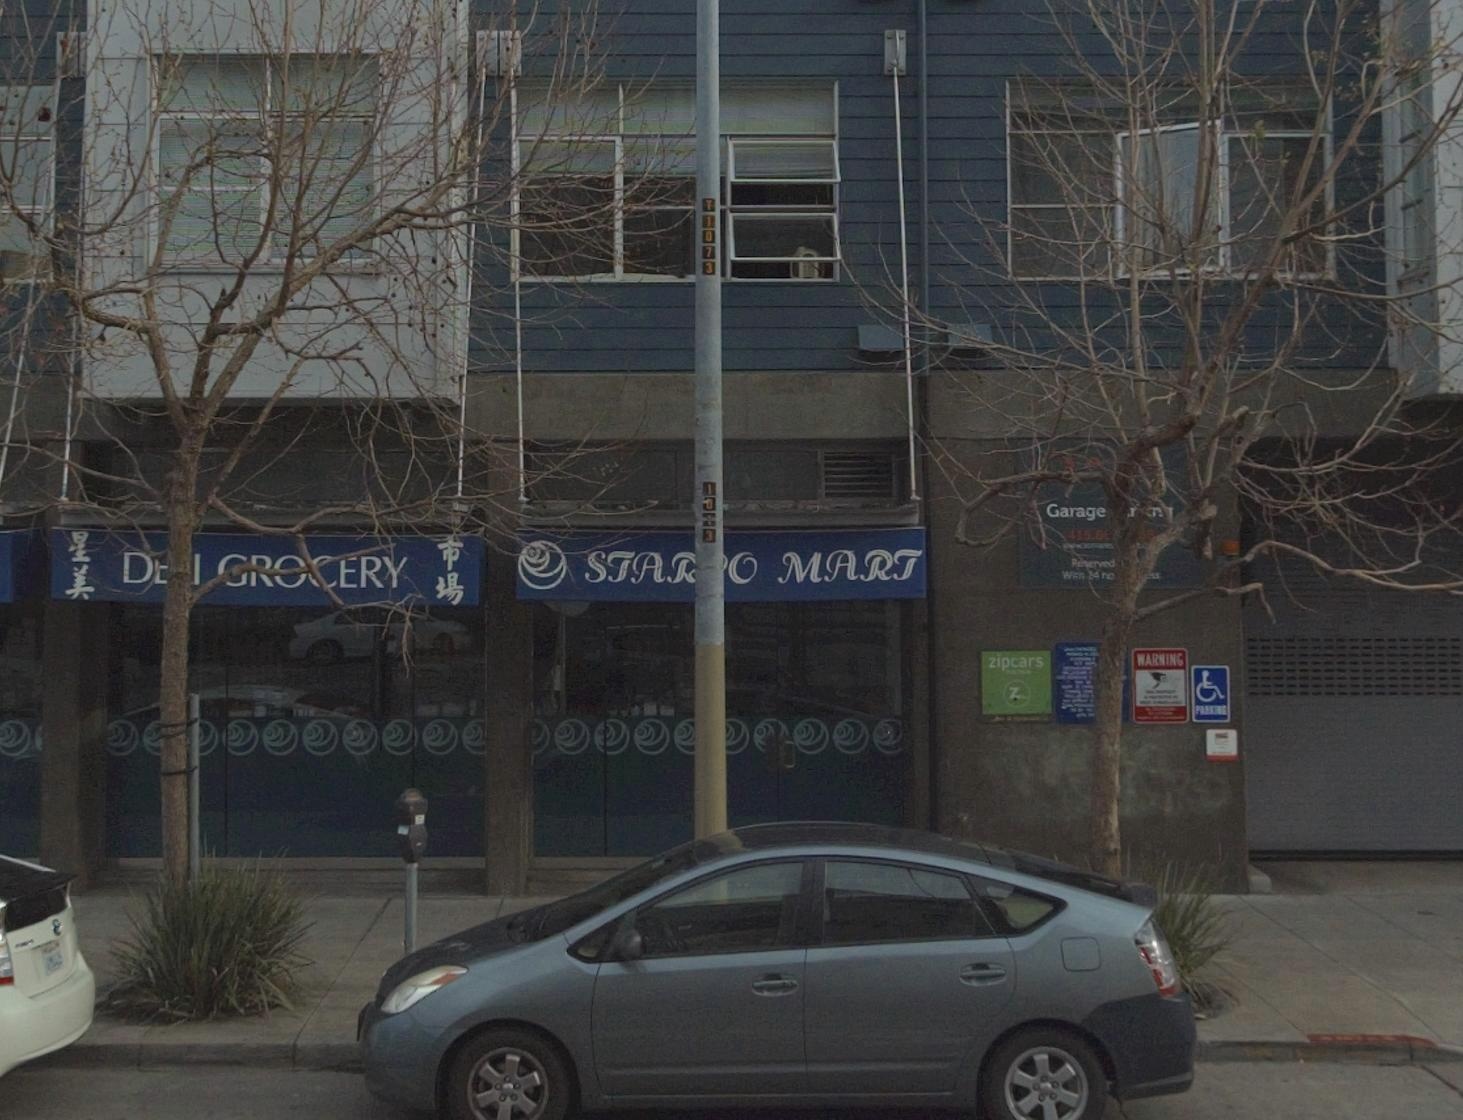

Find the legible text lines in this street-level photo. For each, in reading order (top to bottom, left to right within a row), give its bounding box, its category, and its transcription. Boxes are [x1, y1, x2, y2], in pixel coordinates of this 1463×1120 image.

[703, 198, 715, 276] None: T1073
[701, 480, 715, 543] None: 1013
[1045, 501, 1108, 524] BusinessName: Garage
[1065, 526, 1105, 543] None: 415.8
[119, 549, 414, 592] None: D**I *****RY
[581, 546, 929, 588] BusinessName: STA**O MART
[986, 651, 1047, 674] None: zipcars
[1133, 650, 1185, 669] None: WARNING
[1007, 684, 1024, 702] None: Z